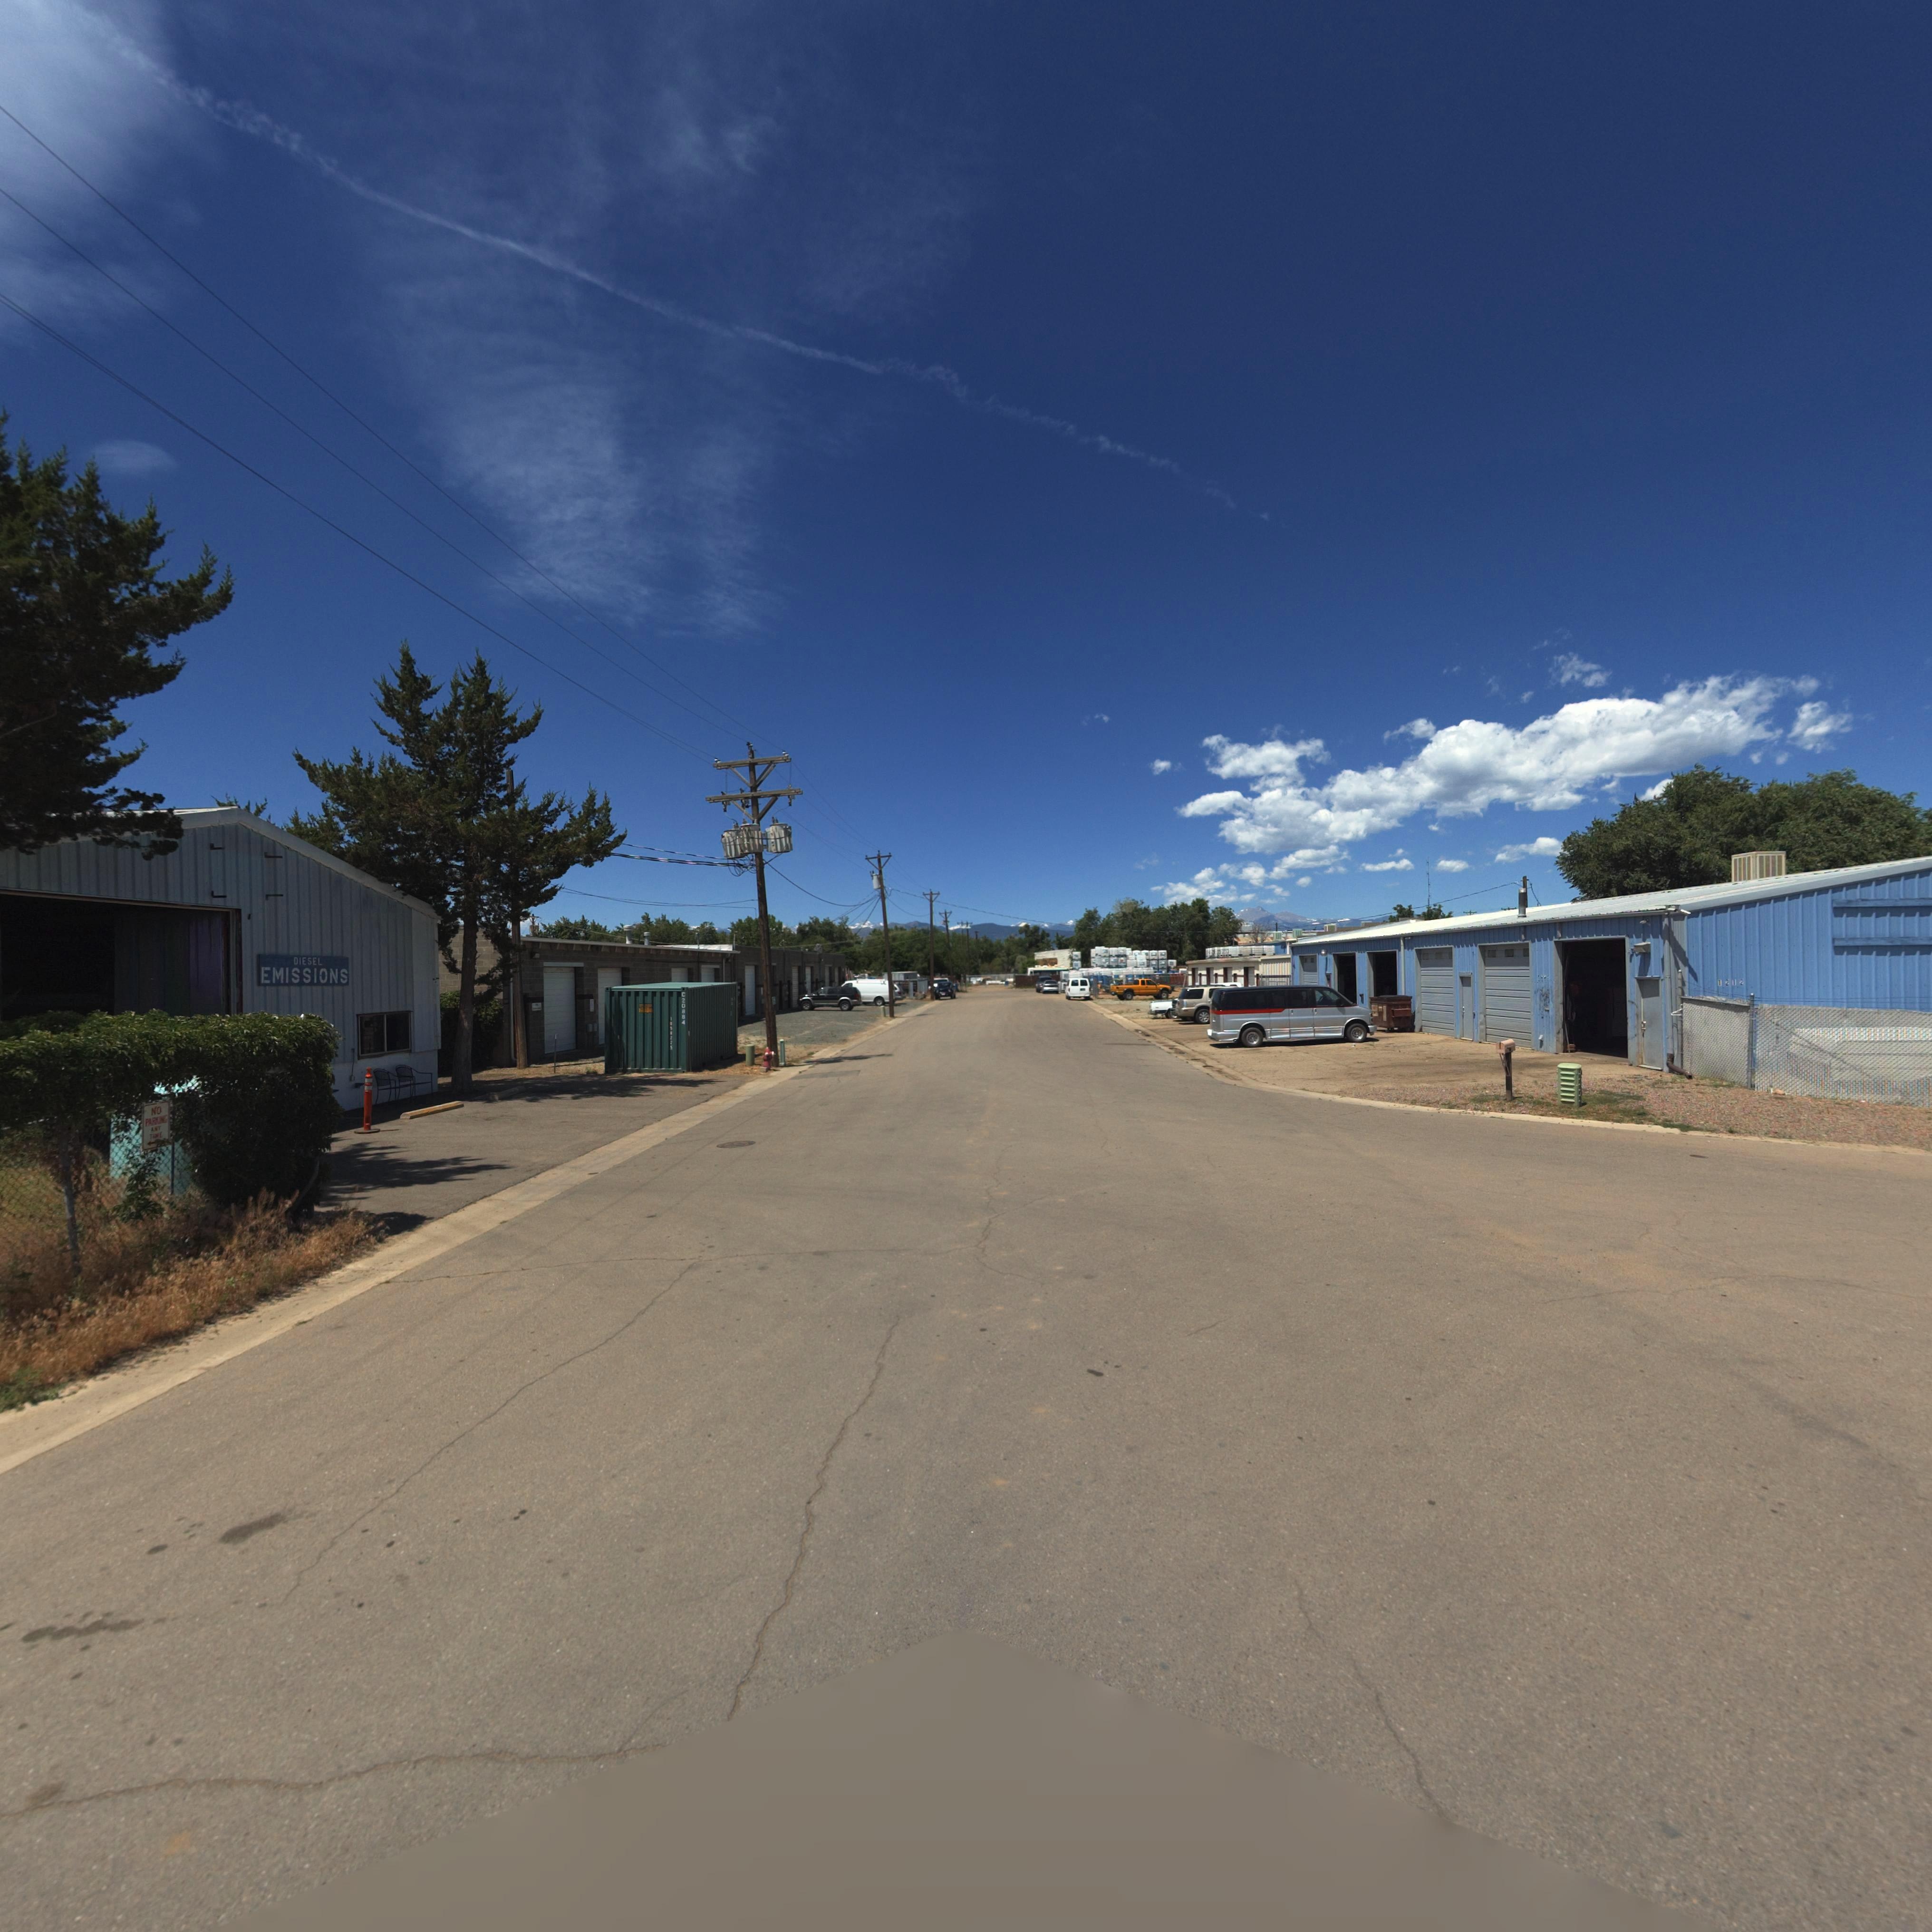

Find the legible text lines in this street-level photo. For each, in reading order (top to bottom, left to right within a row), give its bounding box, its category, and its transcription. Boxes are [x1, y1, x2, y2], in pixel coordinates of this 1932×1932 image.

[291, 956, 322, 966] BusinessName: DIESEL
[261, 966, 348, 984] BusinessName: REMISSIONS